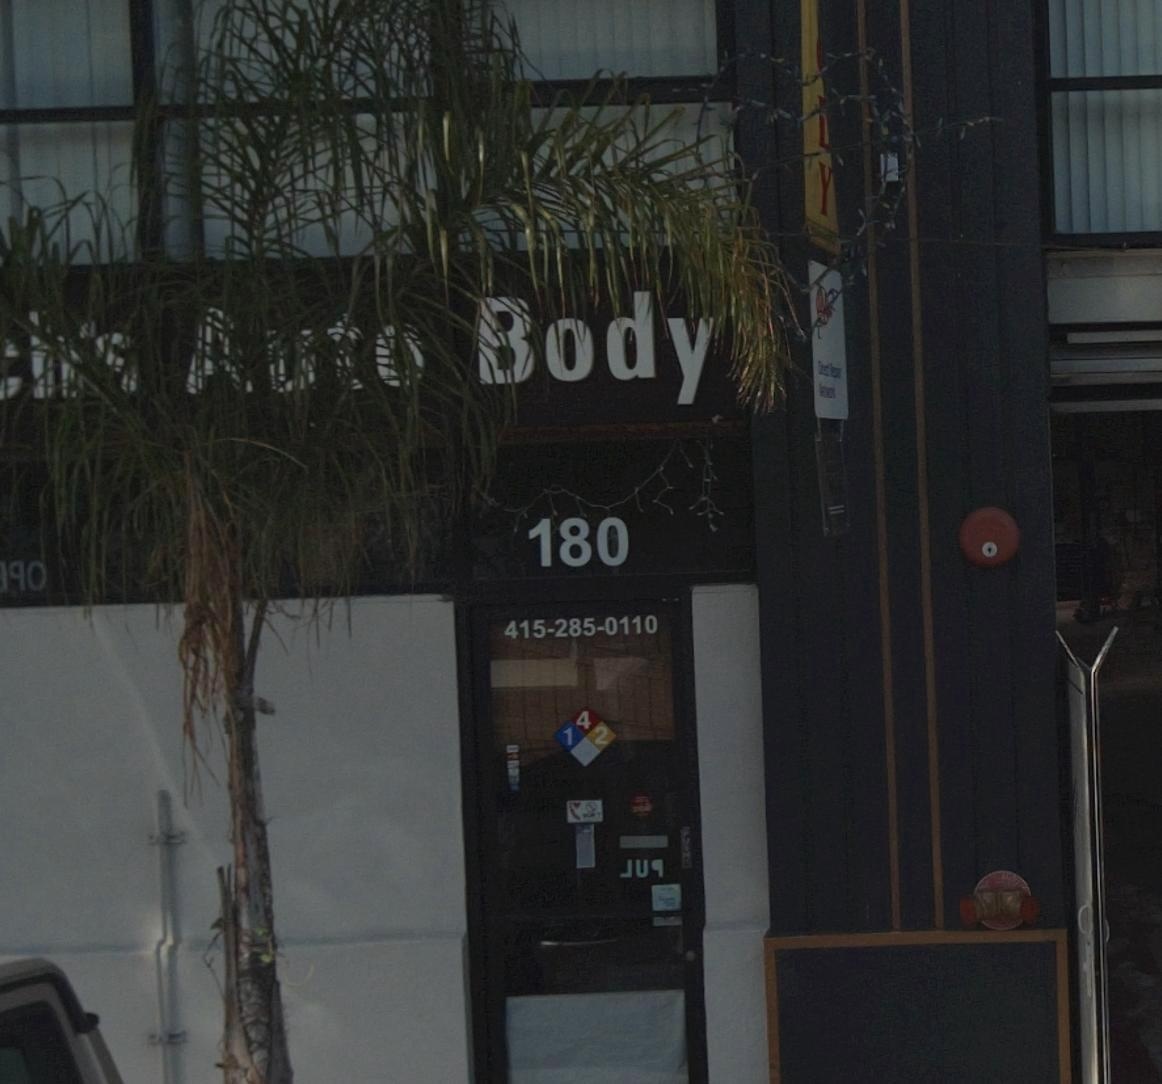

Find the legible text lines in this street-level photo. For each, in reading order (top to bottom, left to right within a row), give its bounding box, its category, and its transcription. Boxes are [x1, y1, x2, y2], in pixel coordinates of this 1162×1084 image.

[814, 154, 838, 222] None: Y
[539, 285, 723, 410] BusinessName: ody
[526, 514, 632, 570] StreetNumber: 180
[0, 557, 51, 595] None: 190
[500, 611, 661, 642] None: 415-285-0110
[561, 724, 575, 748] None: 1
[573, 708, 594, 732] None: 4
[592, 722, 611, 746] None: 2
[617, 856, 667, 880] None: *U*